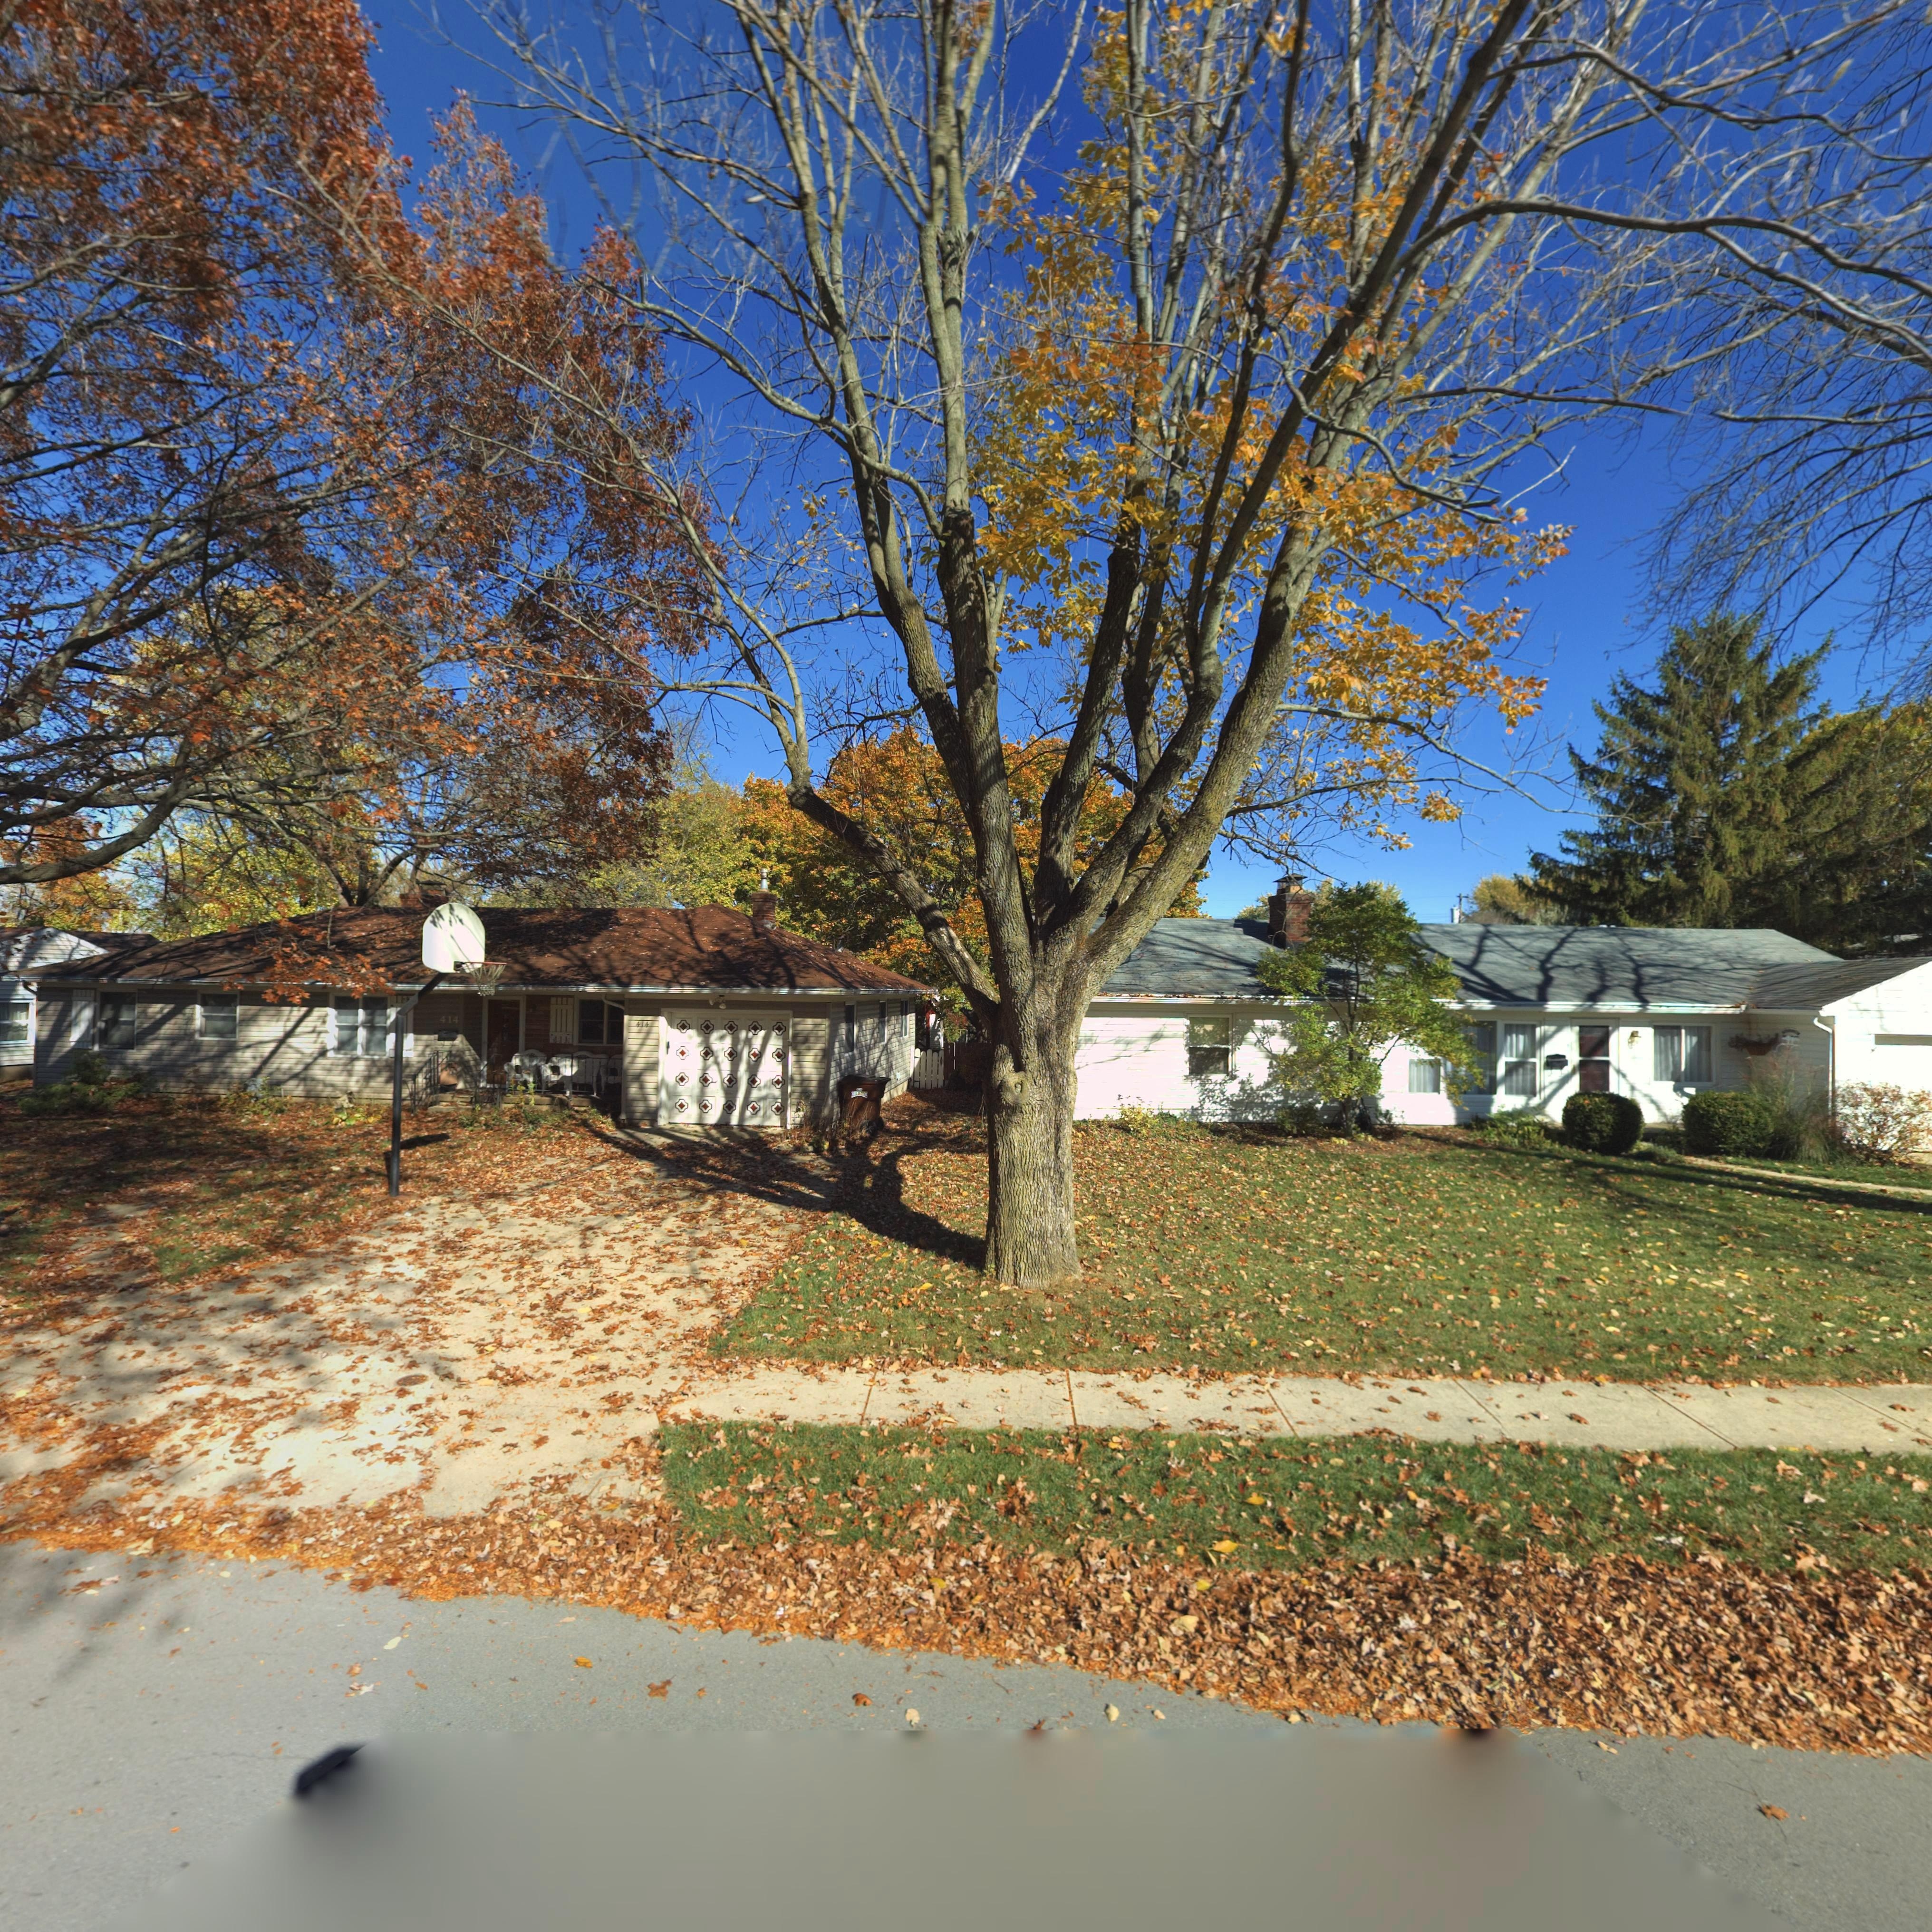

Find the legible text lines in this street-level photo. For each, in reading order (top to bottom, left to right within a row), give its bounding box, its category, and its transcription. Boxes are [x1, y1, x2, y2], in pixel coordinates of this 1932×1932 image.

[439, 1015, 460, 1024] StreetNumber: 414
[635, 1021, 649, 1028] StreetNumber: 414